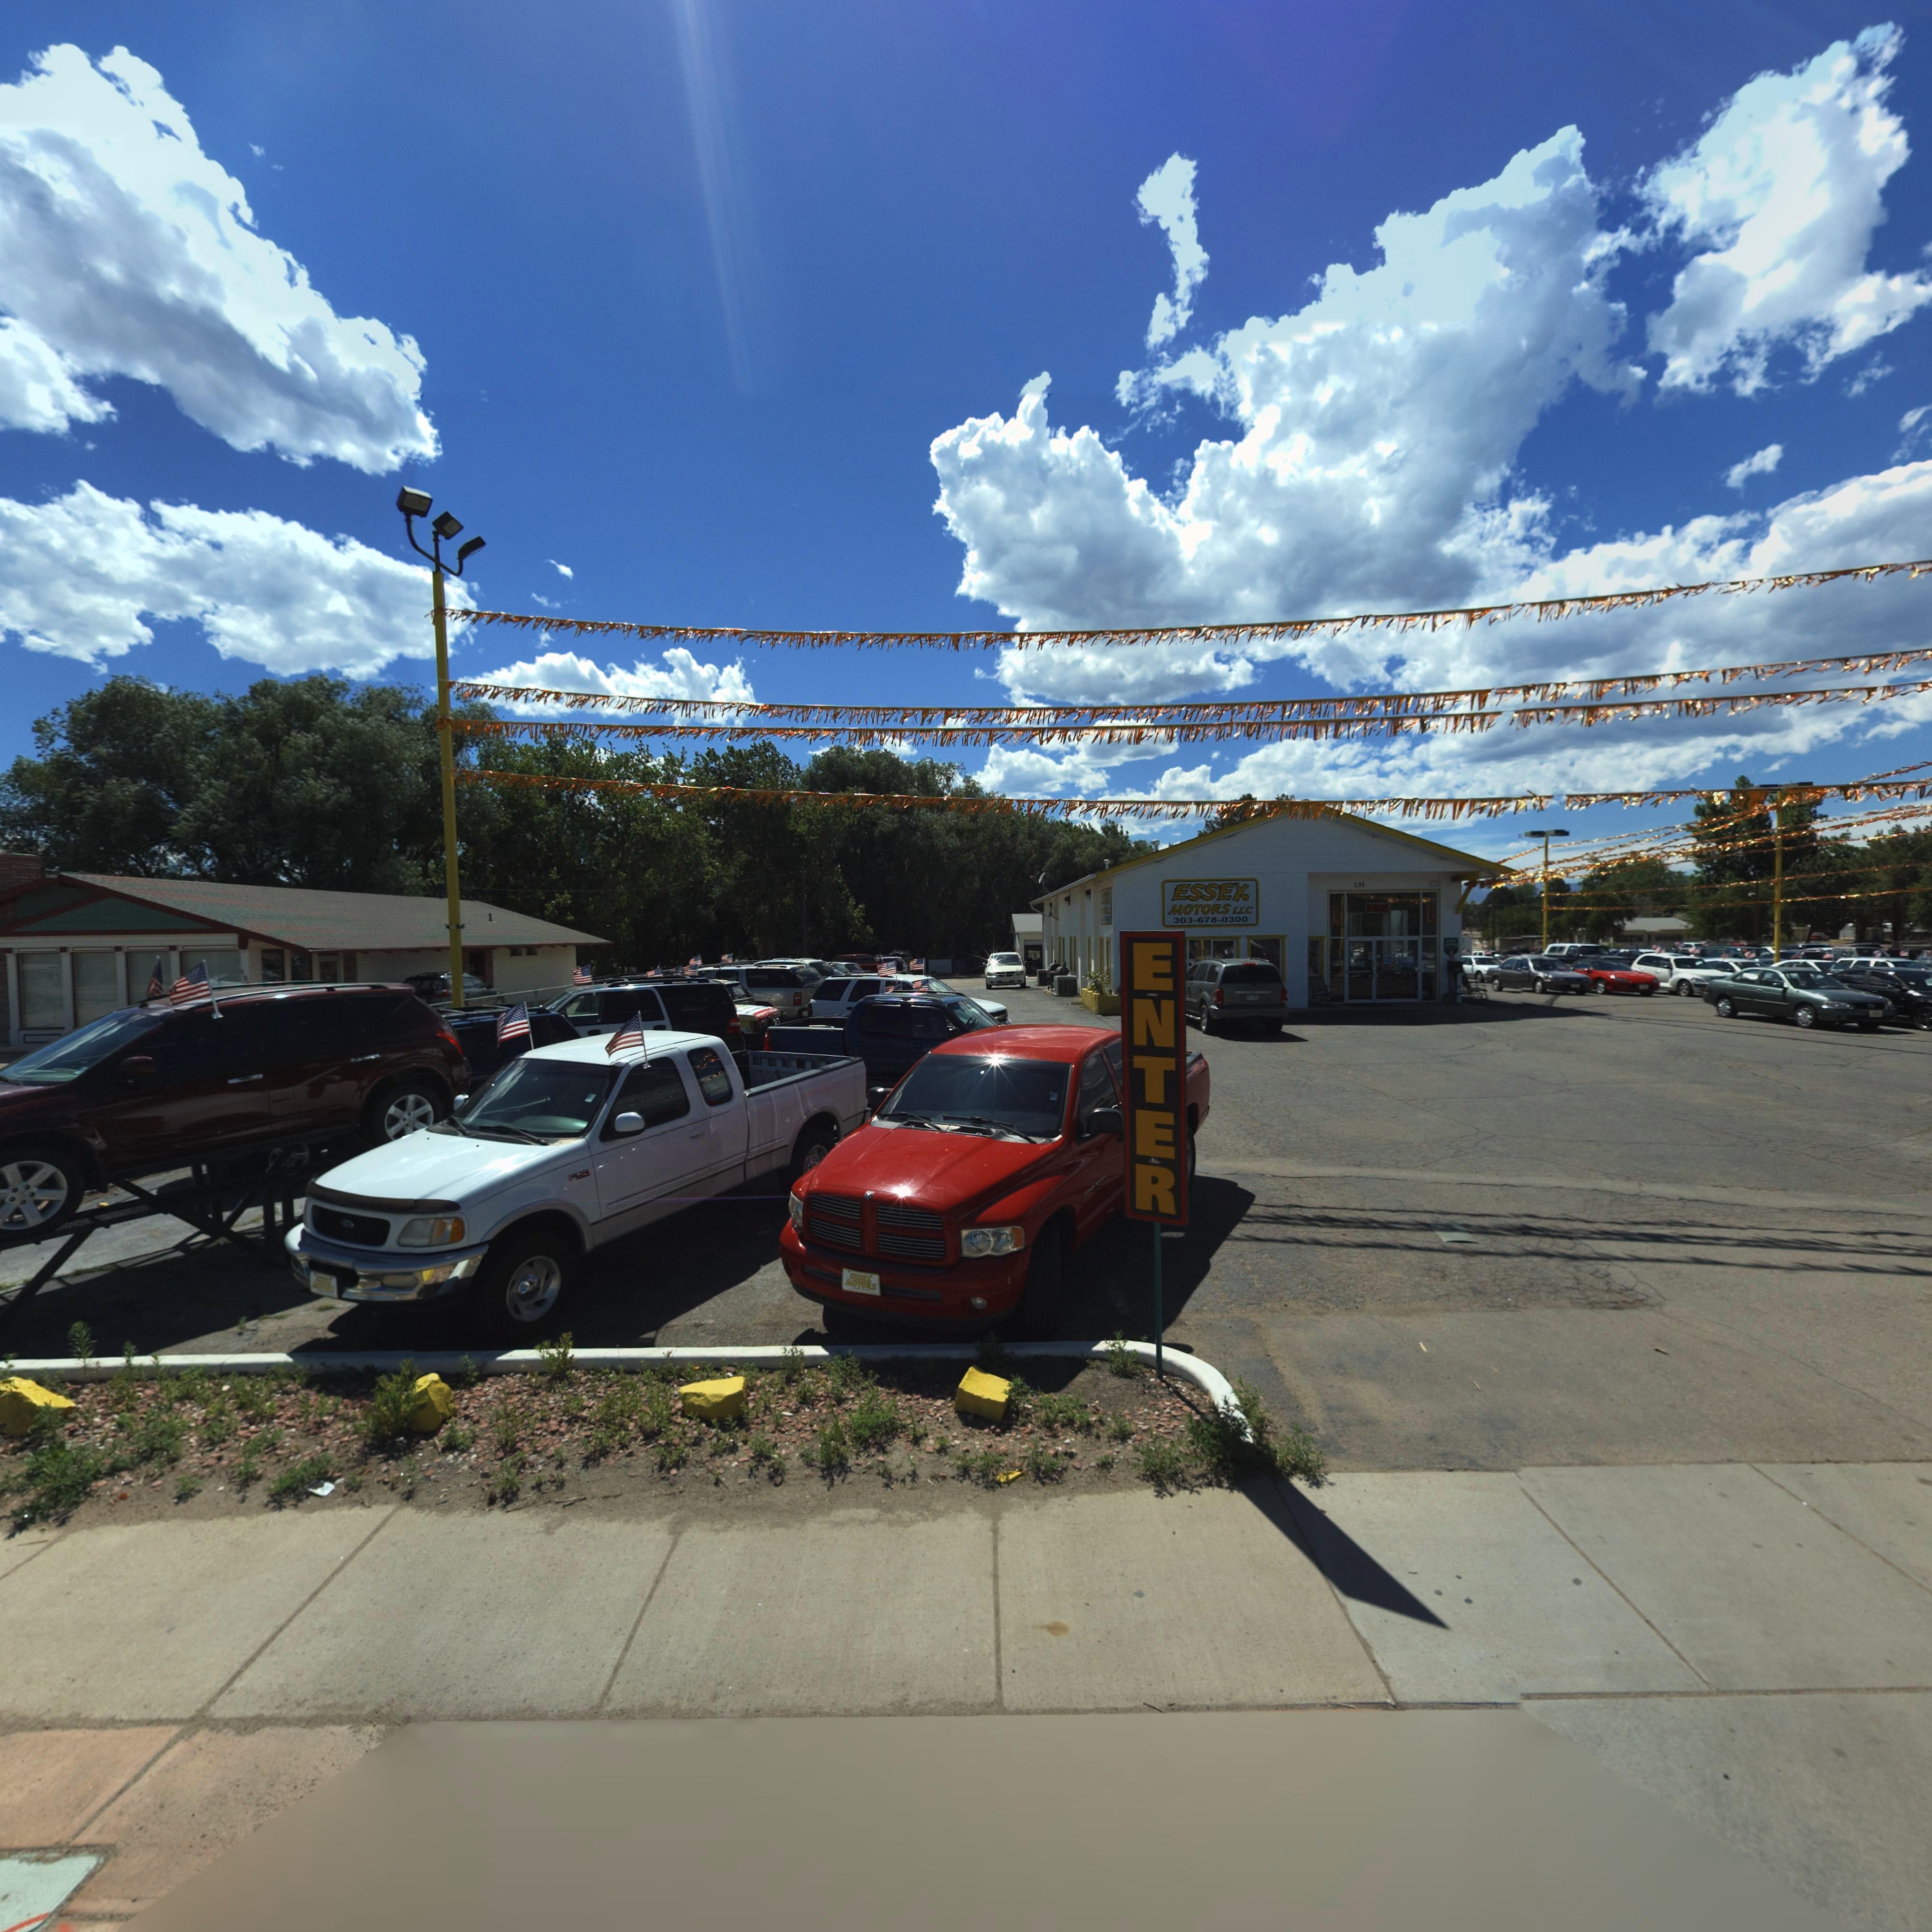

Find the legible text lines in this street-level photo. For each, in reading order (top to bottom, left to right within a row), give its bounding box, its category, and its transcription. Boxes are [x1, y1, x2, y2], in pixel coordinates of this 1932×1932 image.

[1354, 881, 1364, 888] StreetNumber: 131
[1169, 881, 1249, 901] BusinessName: ESSEX
[1167, 902, 1254, 915] BusinessName: MOTOTS LLC